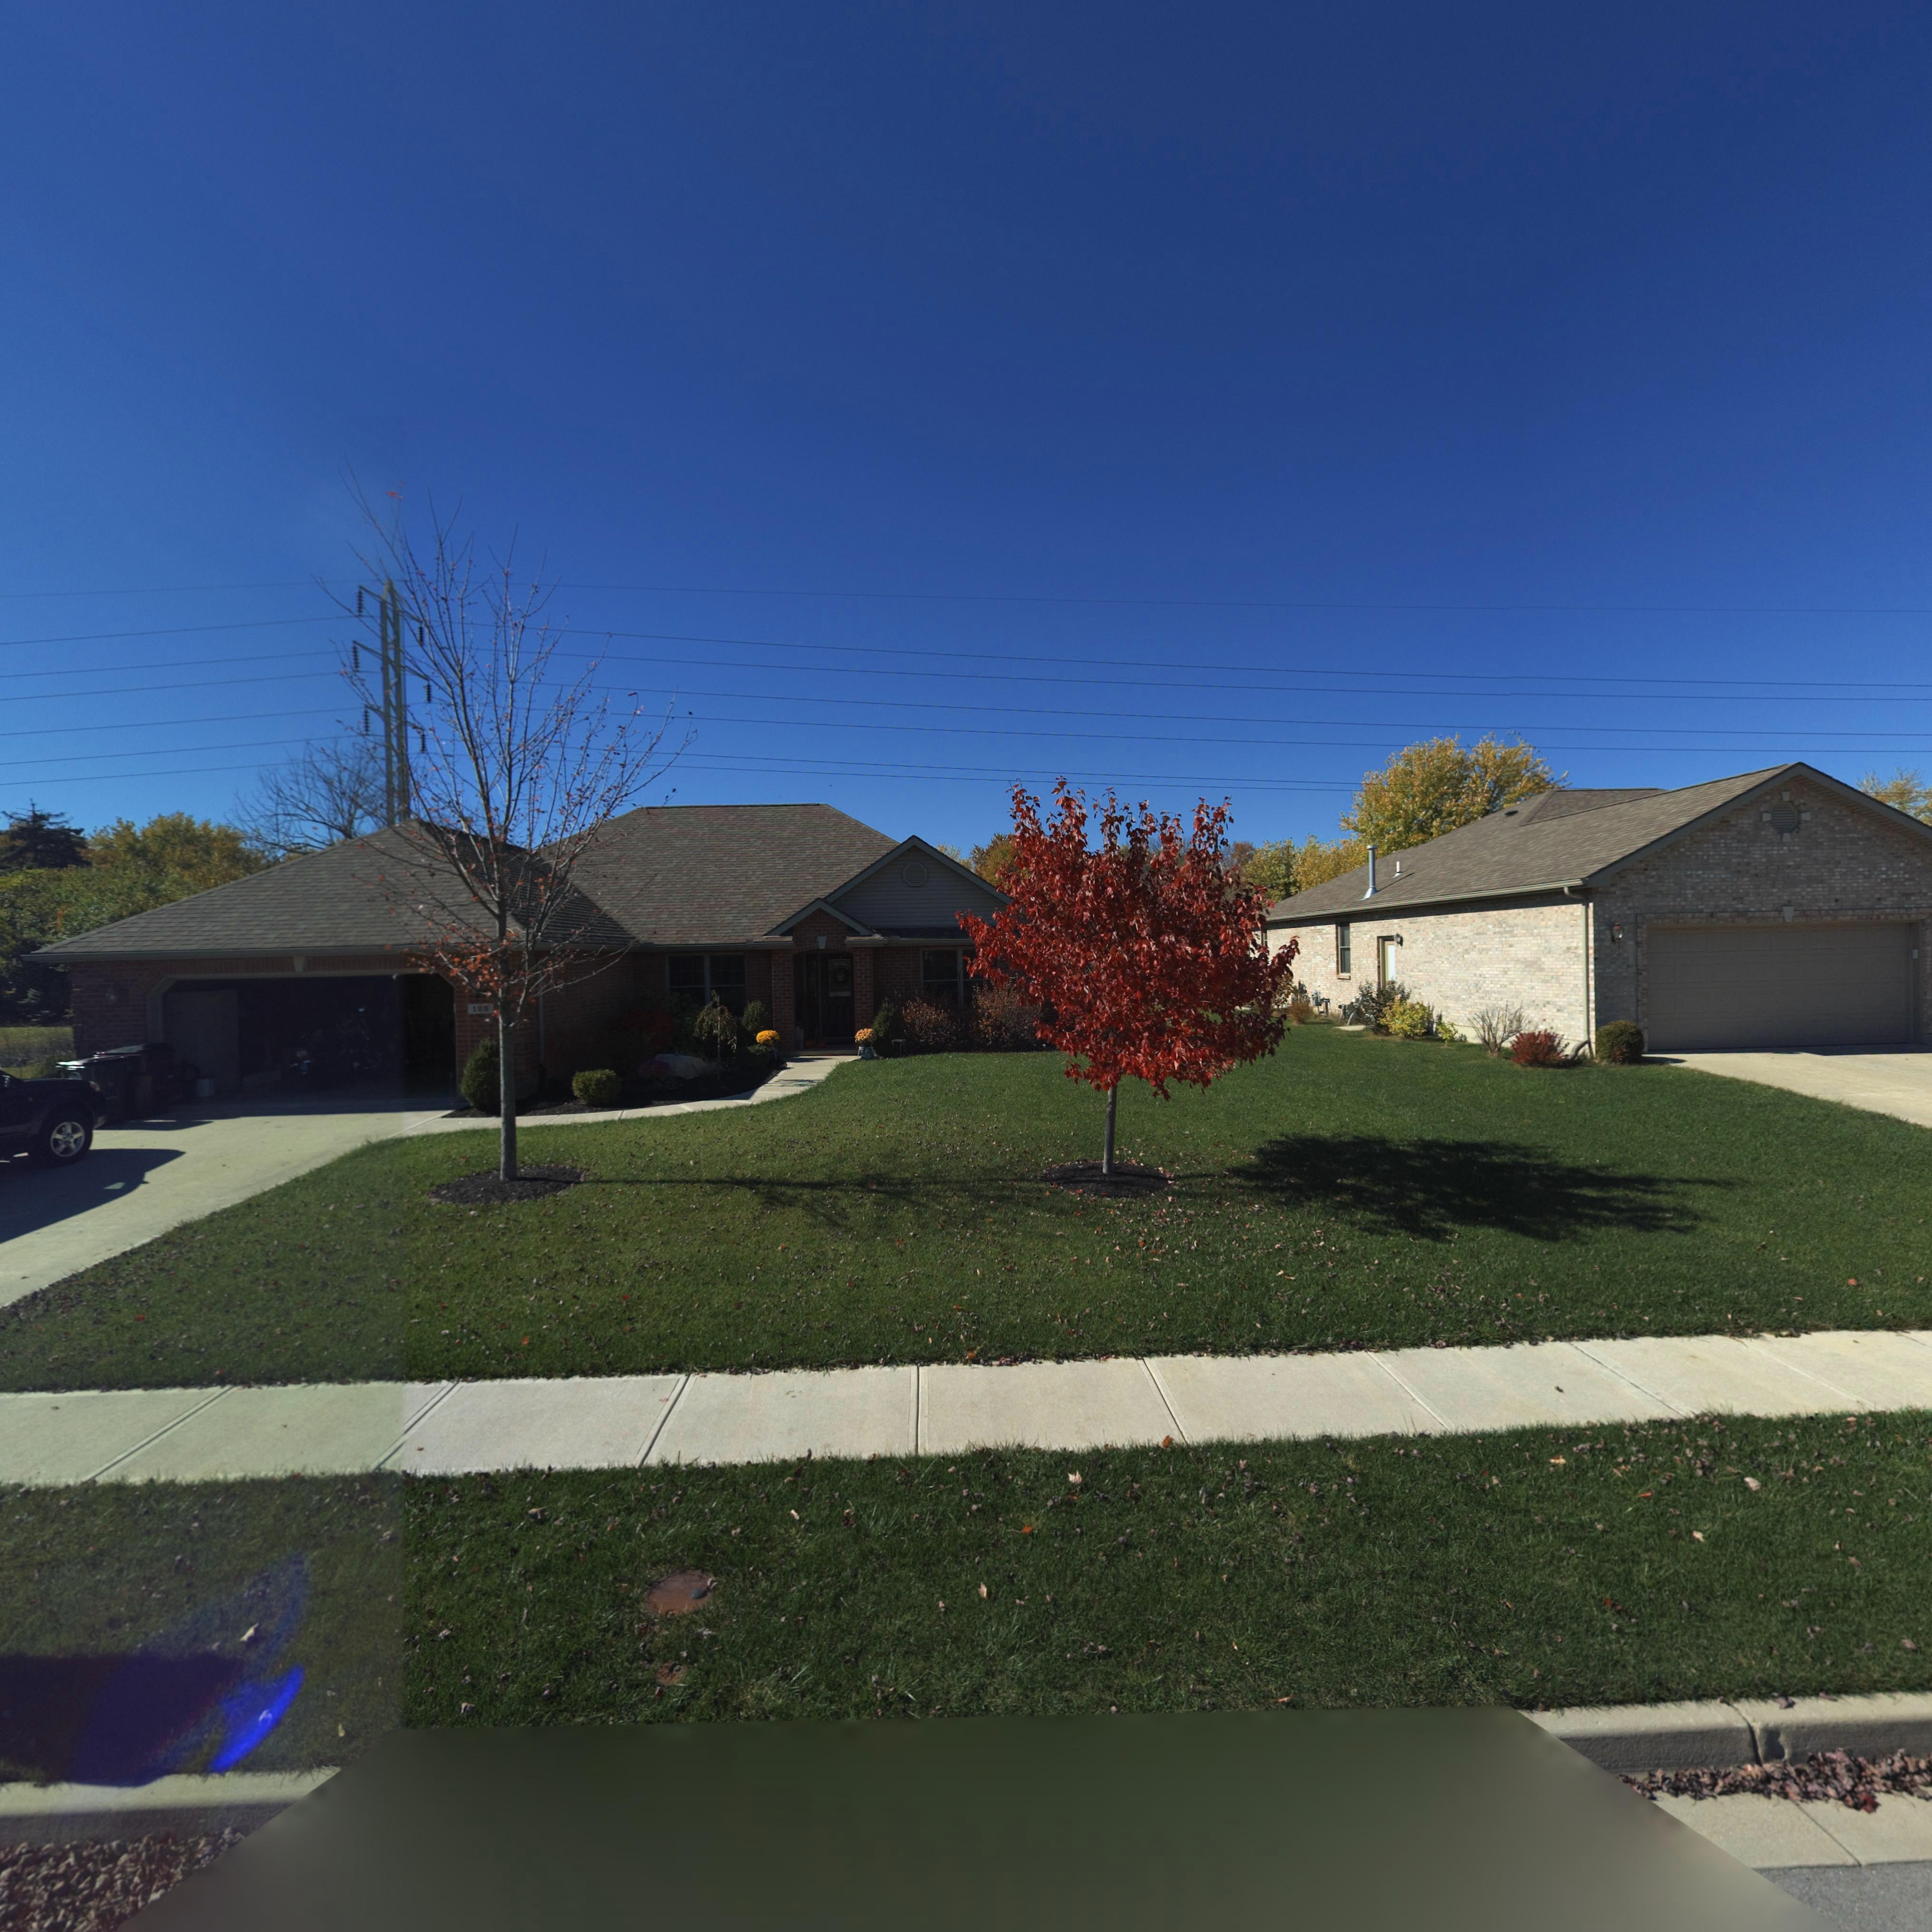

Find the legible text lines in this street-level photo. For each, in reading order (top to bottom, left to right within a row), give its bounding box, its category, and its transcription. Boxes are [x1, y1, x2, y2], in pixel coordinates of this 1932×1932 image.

[472, 1005, 490, 1013] StreetNumber: 125